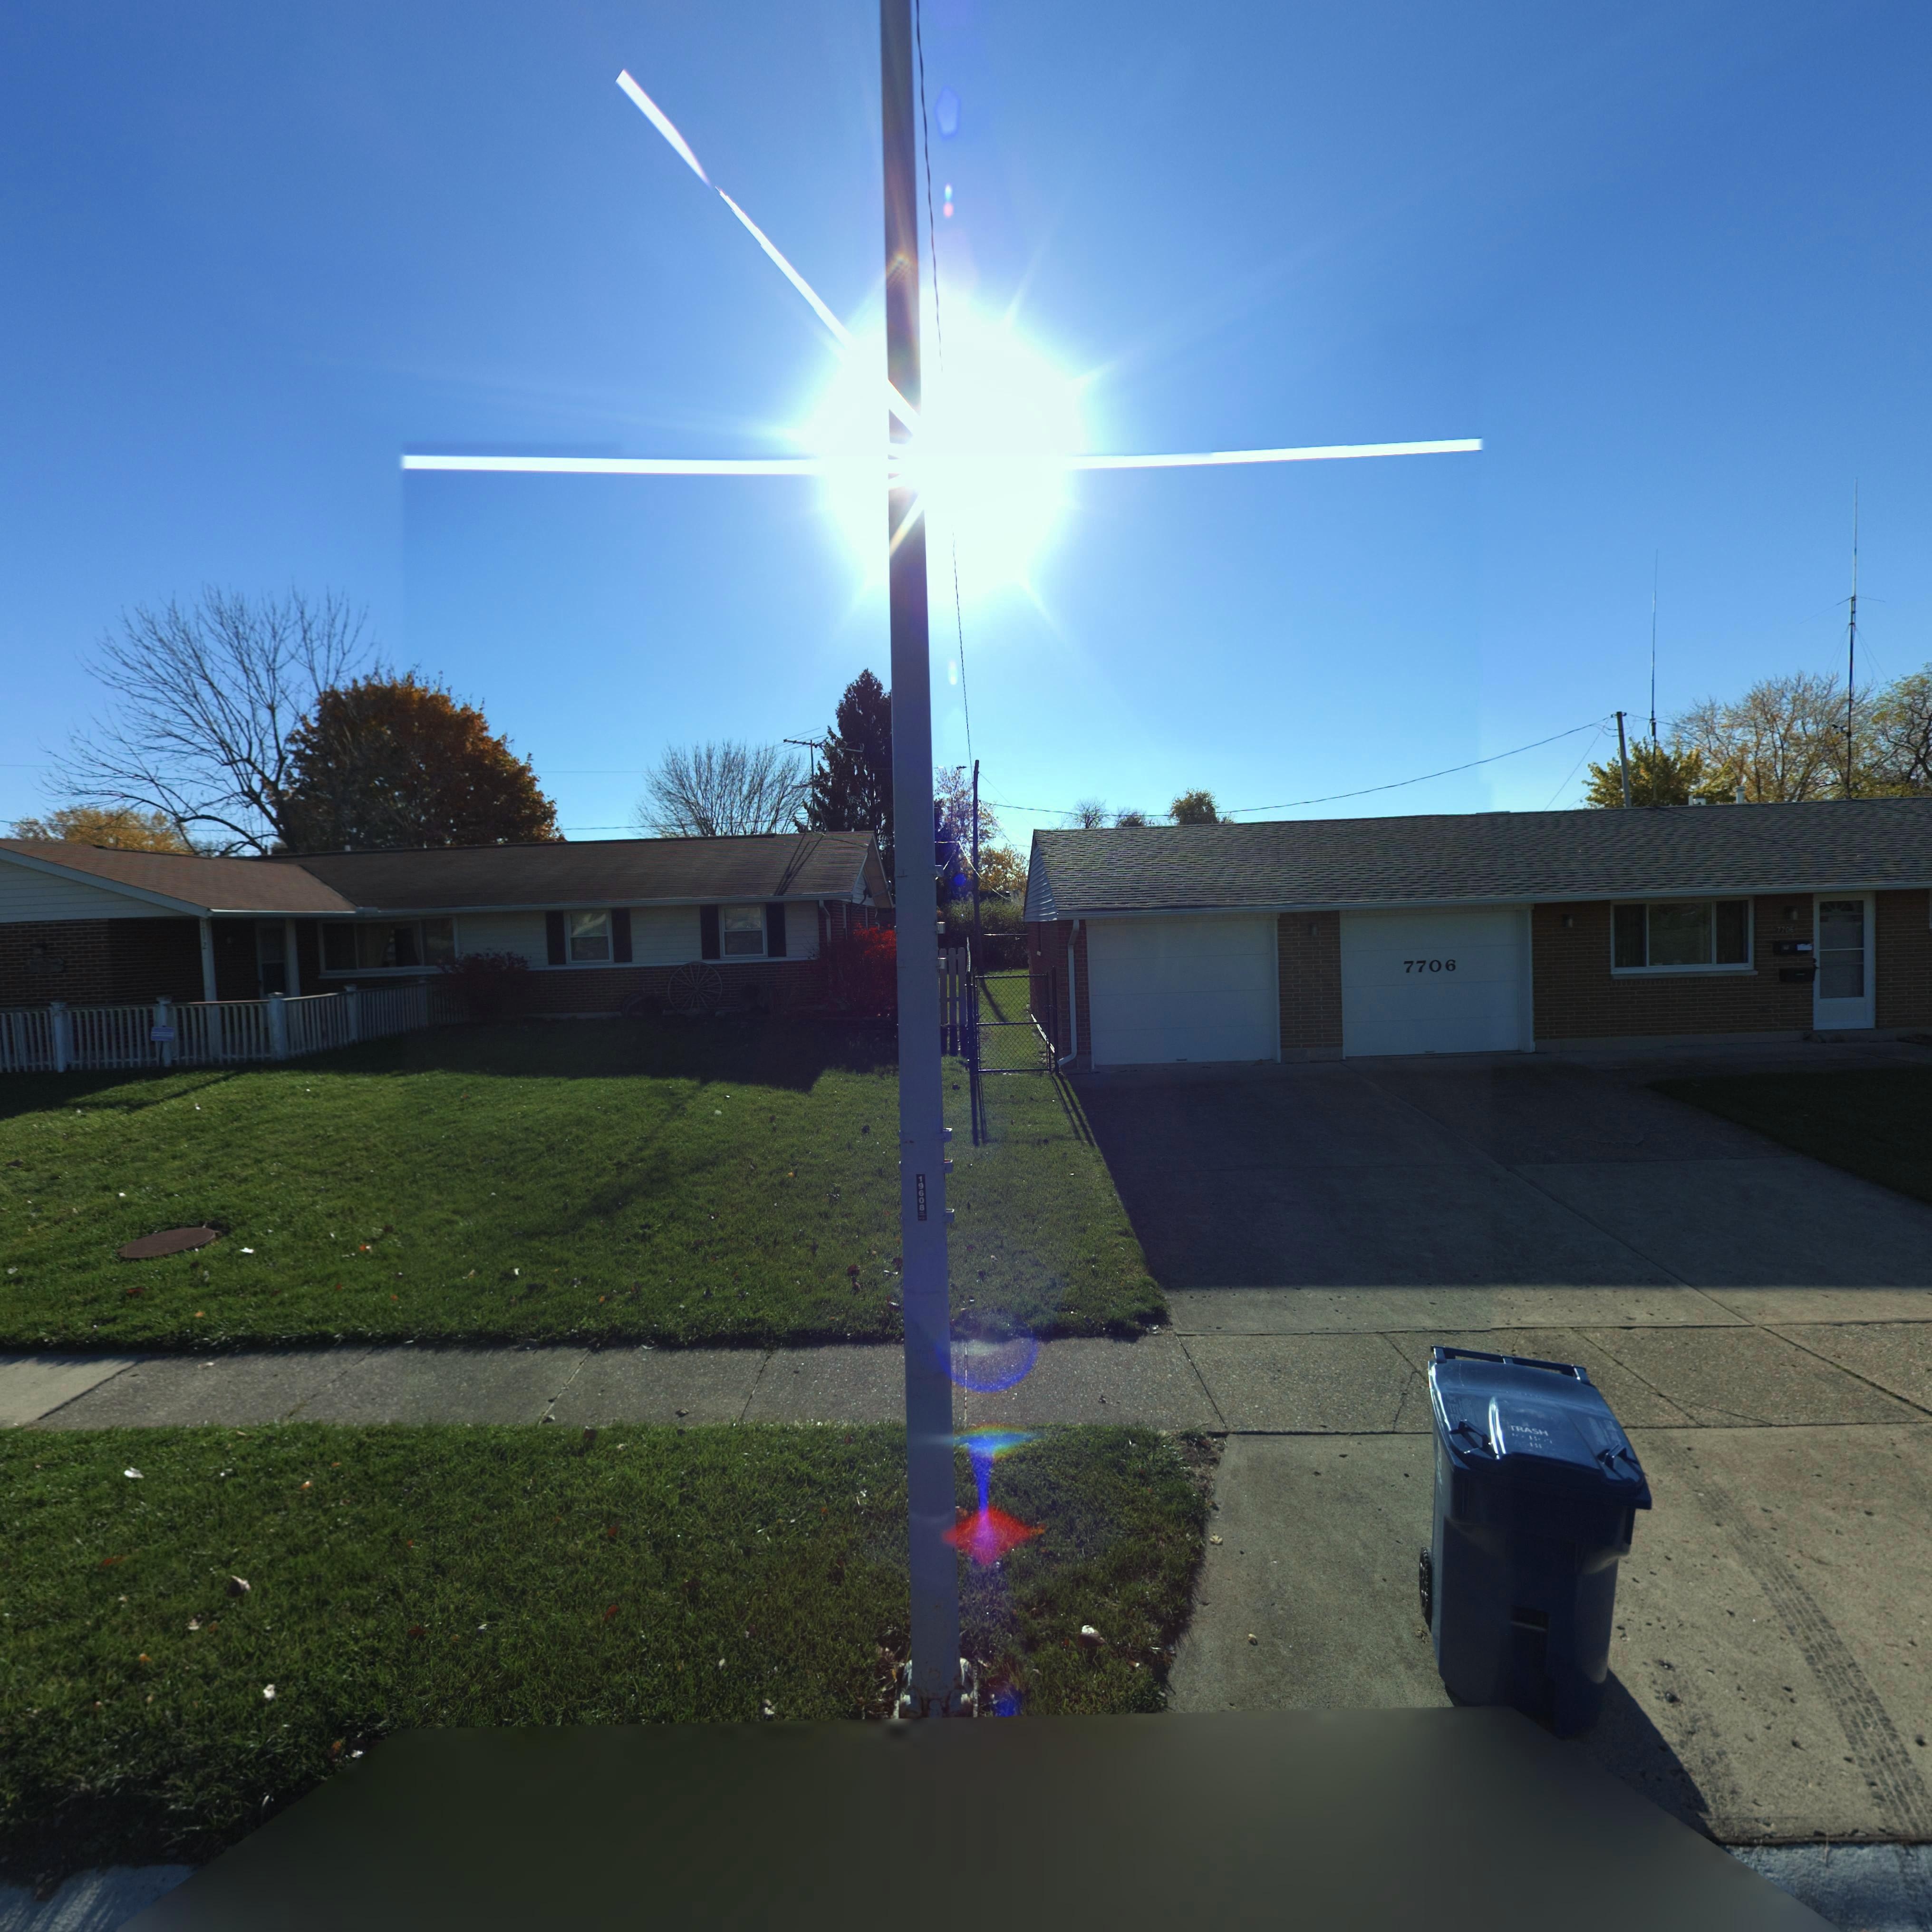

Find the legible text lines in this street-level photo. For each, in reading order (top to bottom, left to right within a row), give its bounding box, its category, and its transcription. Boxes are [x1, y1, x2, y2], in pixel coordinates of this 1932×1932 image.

[199, 918, 208, 950] StreetNumber: ***2
[1775, 925, 1796, 935] StreetNumber: *7**
[1402, 958, 1458, 975] StreetNumber: 7706